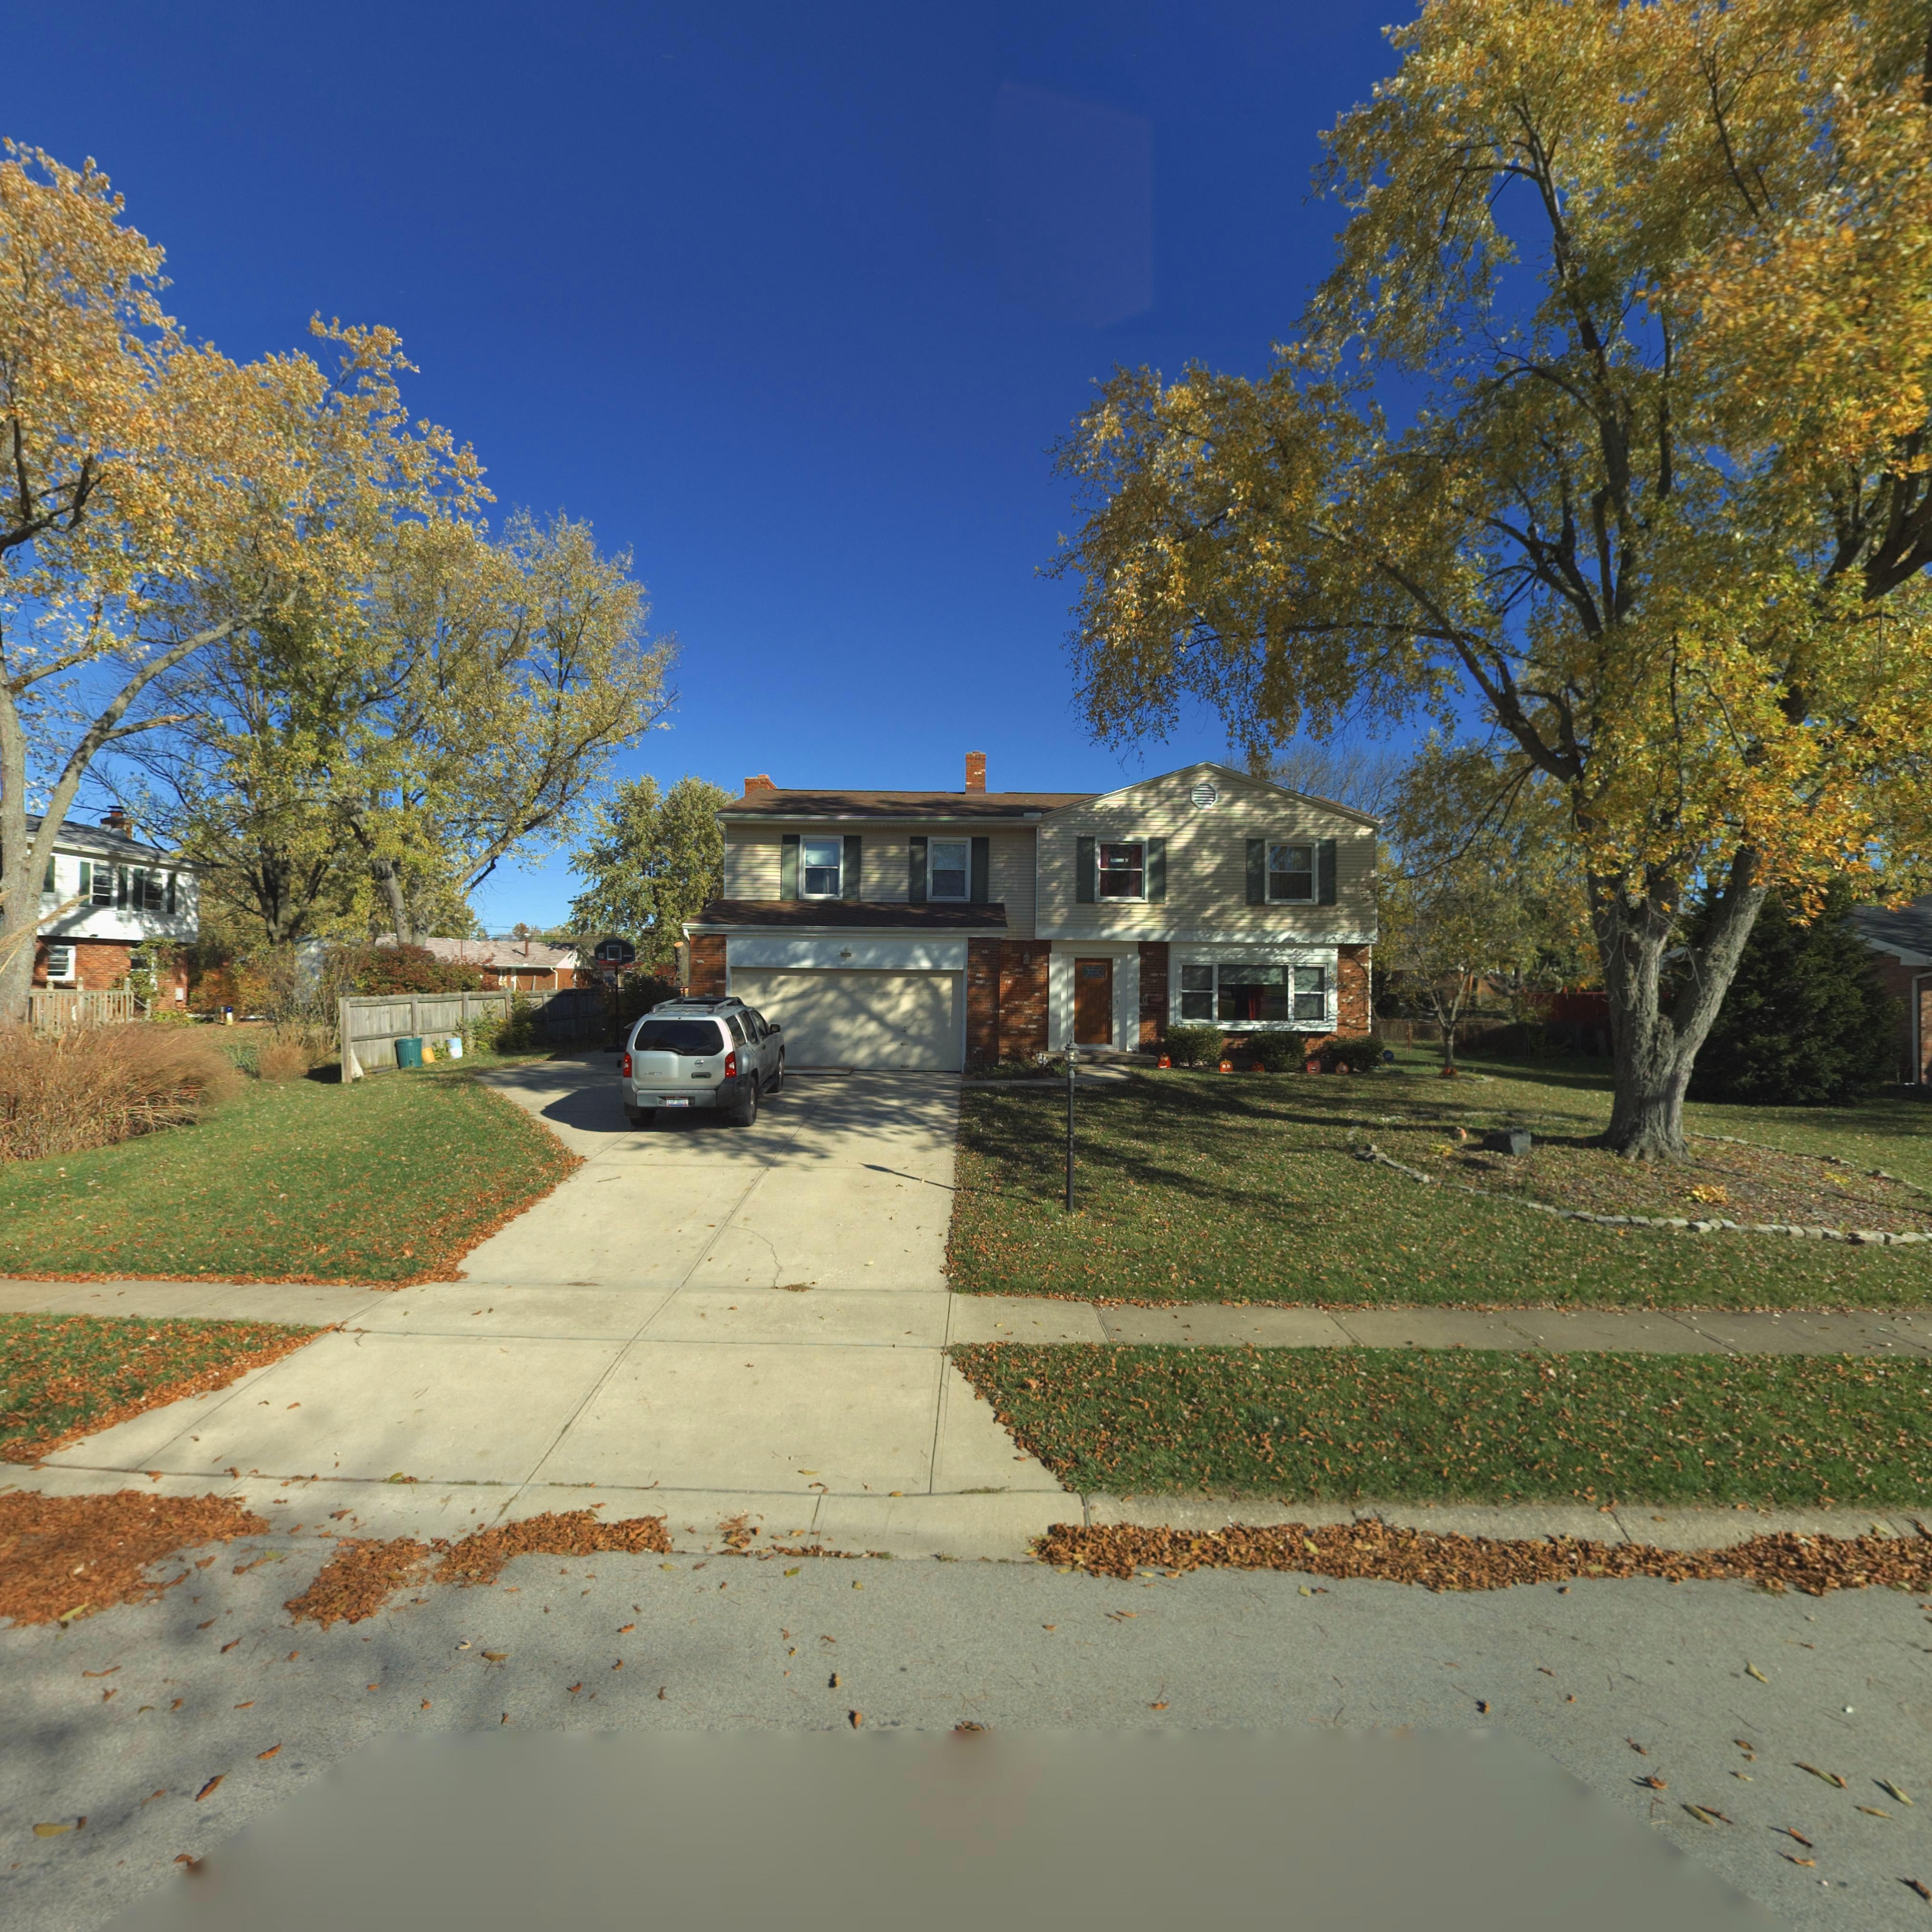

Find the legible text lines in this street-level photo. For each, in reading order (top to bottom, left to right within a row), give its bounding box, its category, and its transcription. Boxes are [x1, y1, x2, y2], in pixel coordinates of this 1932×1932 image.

[1127, 971, 1140, 992] StreetNumber: 70**